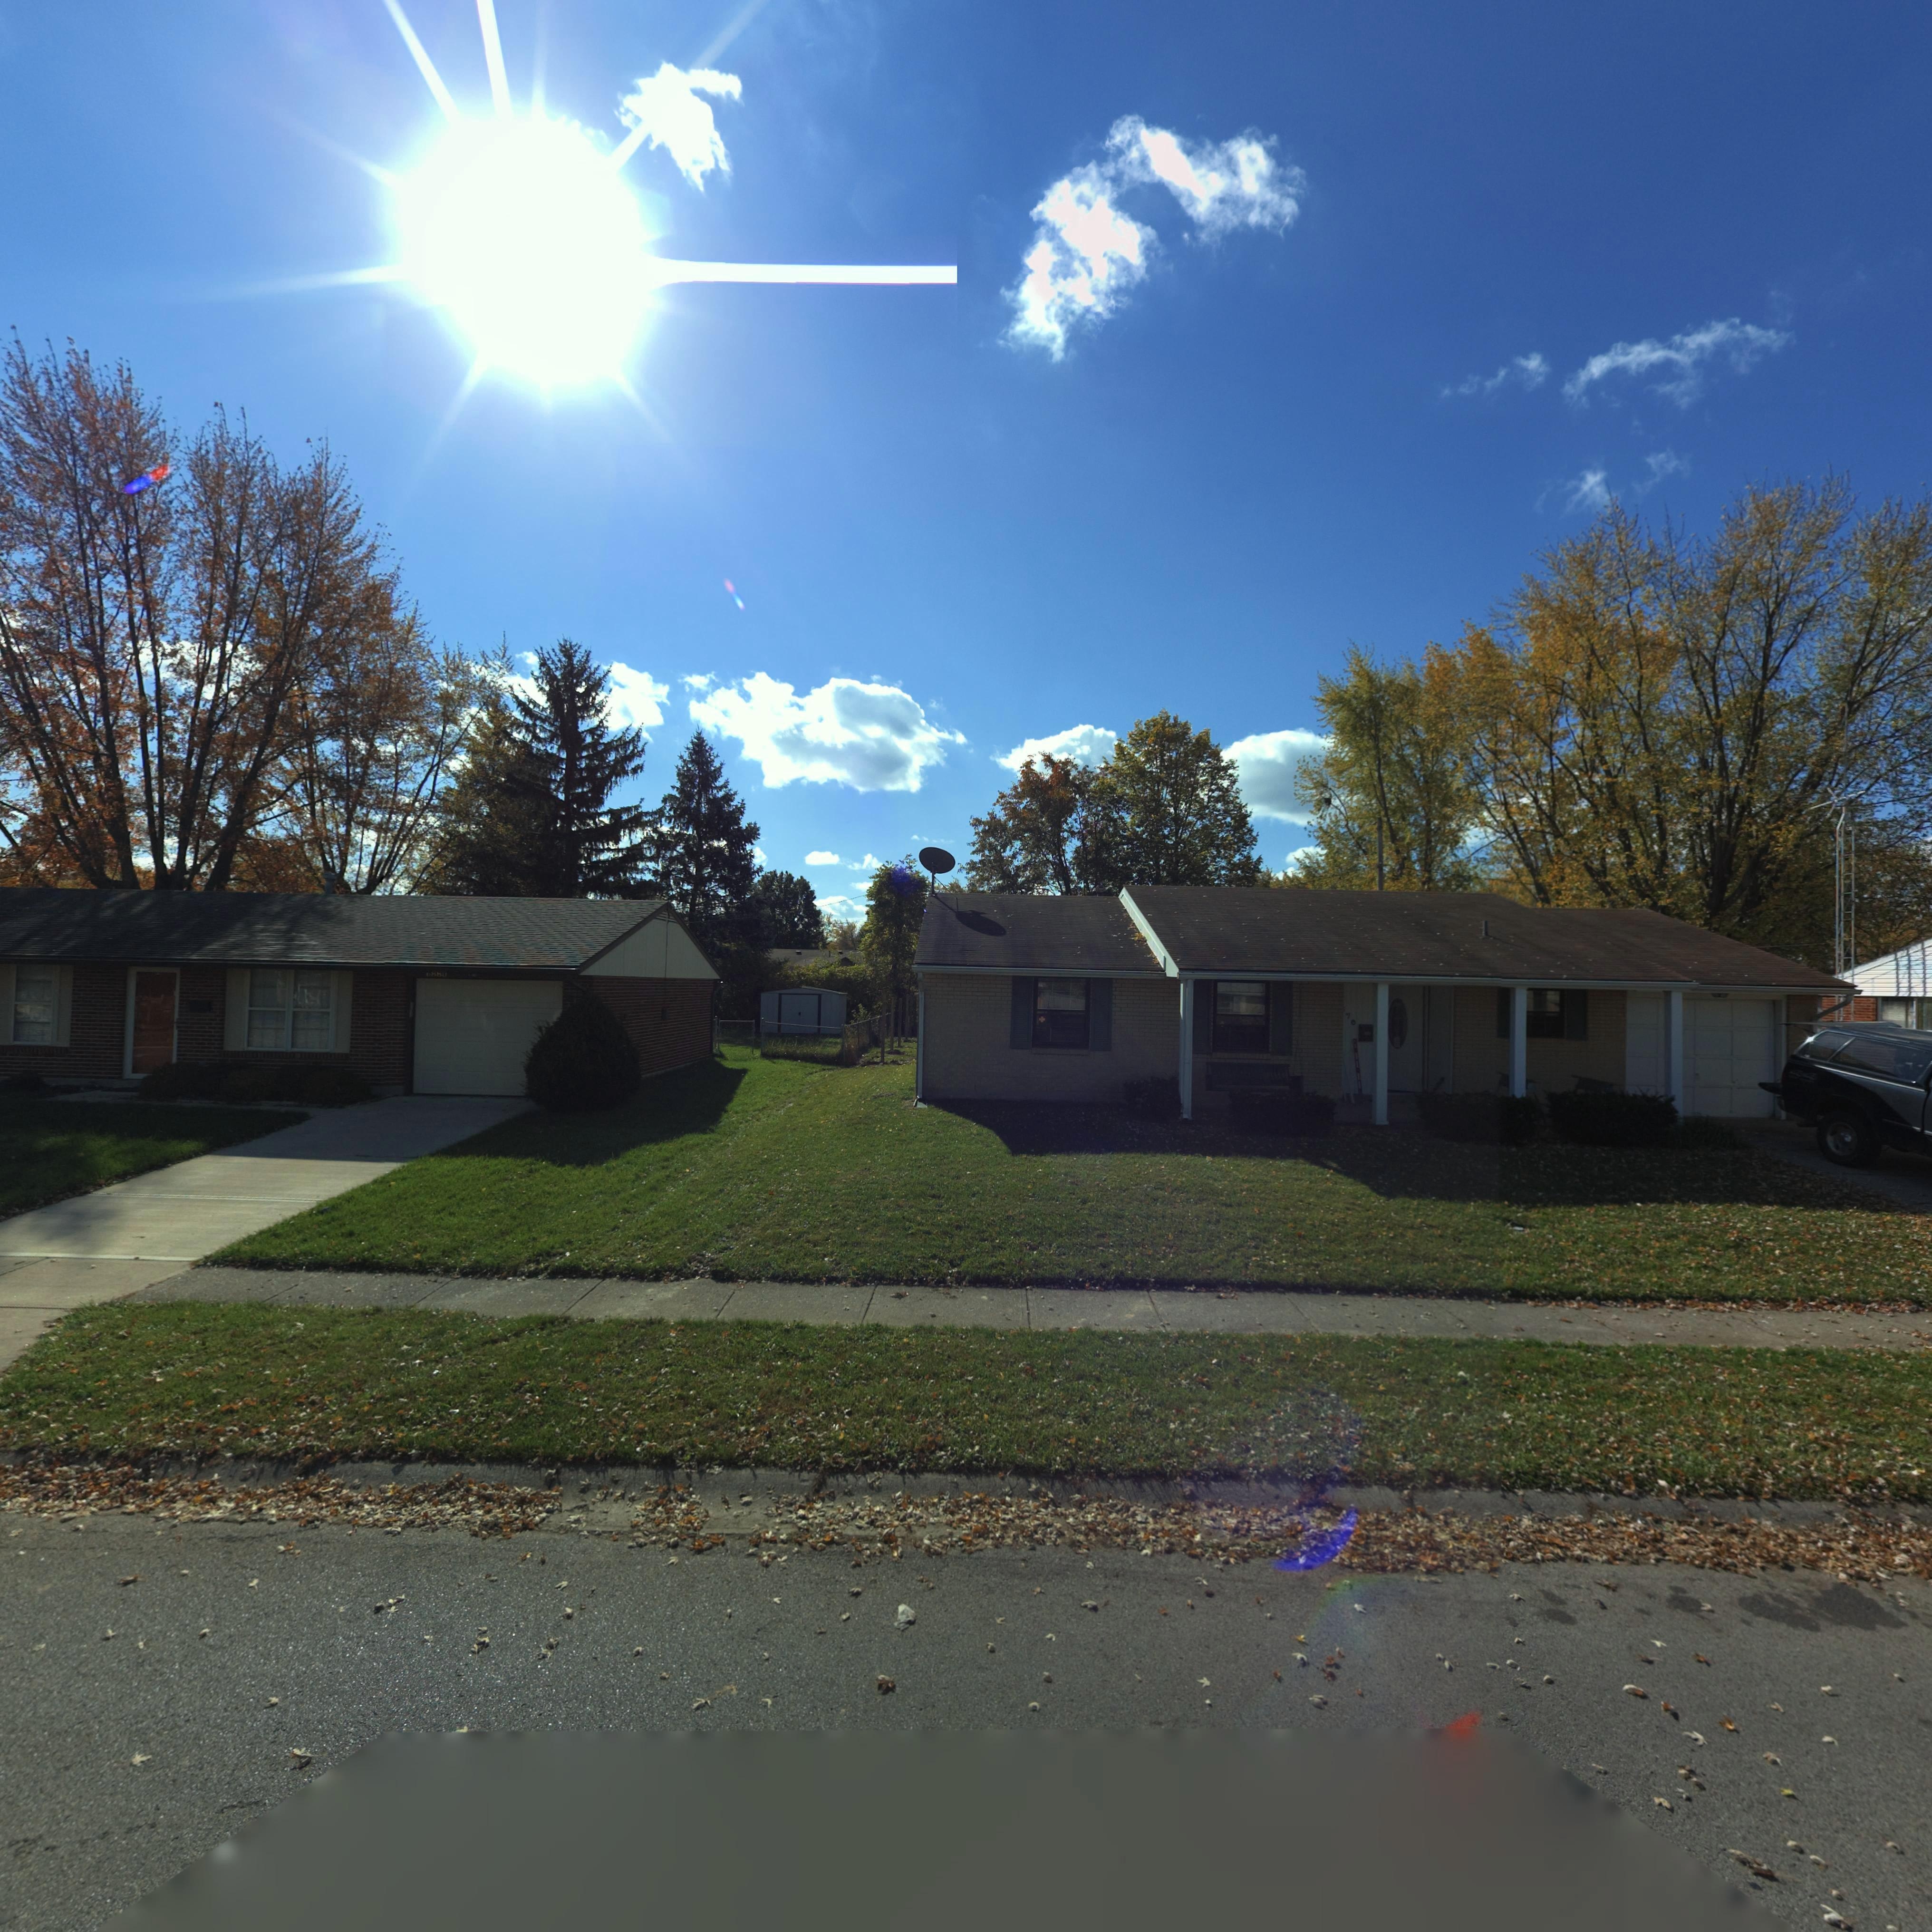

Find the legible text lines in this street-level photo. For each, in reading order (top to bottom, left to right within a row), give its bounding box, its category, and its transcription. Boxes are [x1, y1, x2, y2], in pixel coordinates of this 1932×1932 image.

[1345, 1012, 1357, 1027] StreetNumber: 70